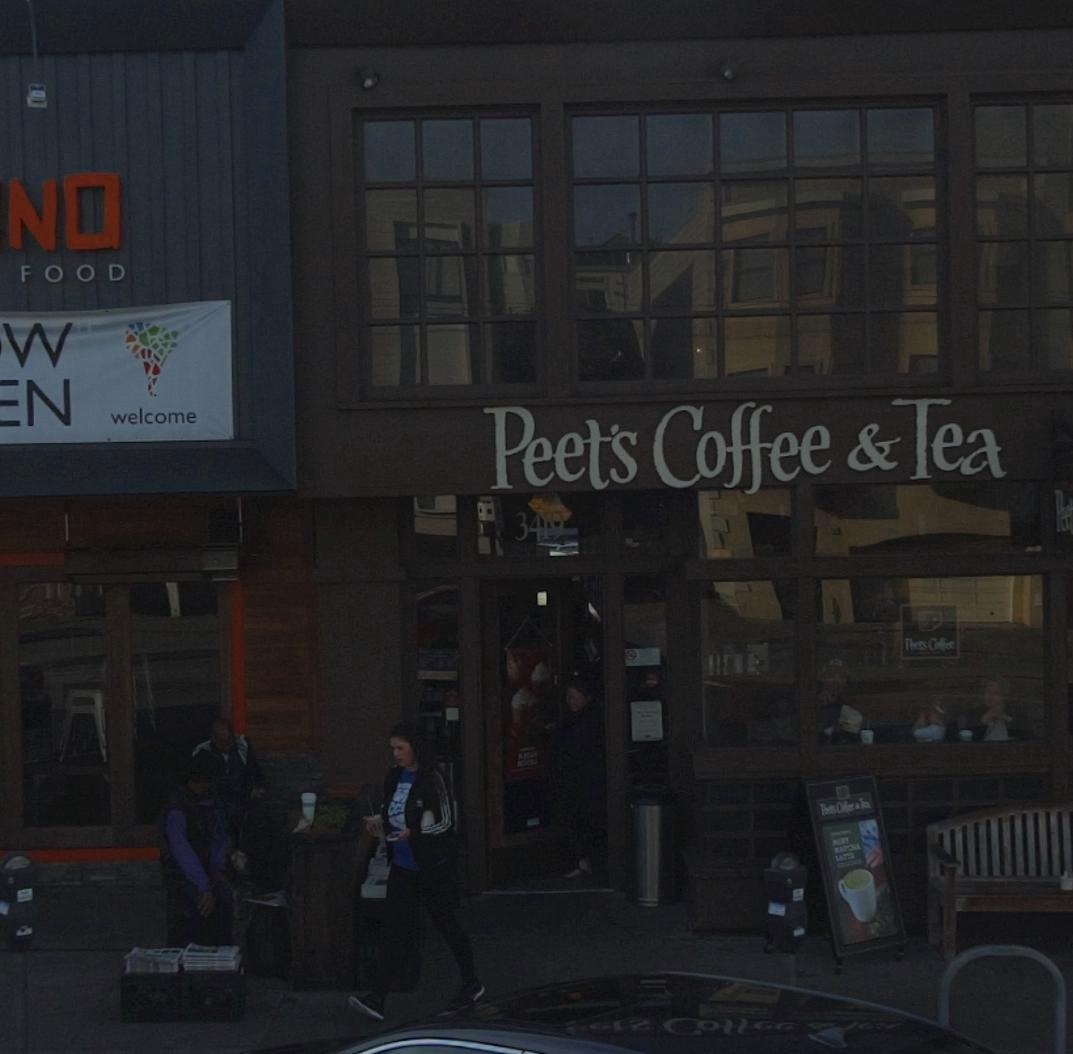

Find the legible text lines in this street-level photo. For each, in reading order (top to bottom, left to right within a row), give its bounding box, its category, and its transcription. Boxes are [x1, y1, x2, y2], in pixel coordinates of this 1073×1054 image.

[3, 165, 129, 257] BusinessName: N*
[18, 261, 128, 286] None: FOOD
[0, 319, 77, 372] None: W
[22, 375, 75, 430] None: N
[106, 404, 201, 427] None: welcome
[475, 390, 1014, 501] BusinessName: Peet's Coffee & Tea
[512, 509, 567, 545] StreetNumber: 3419